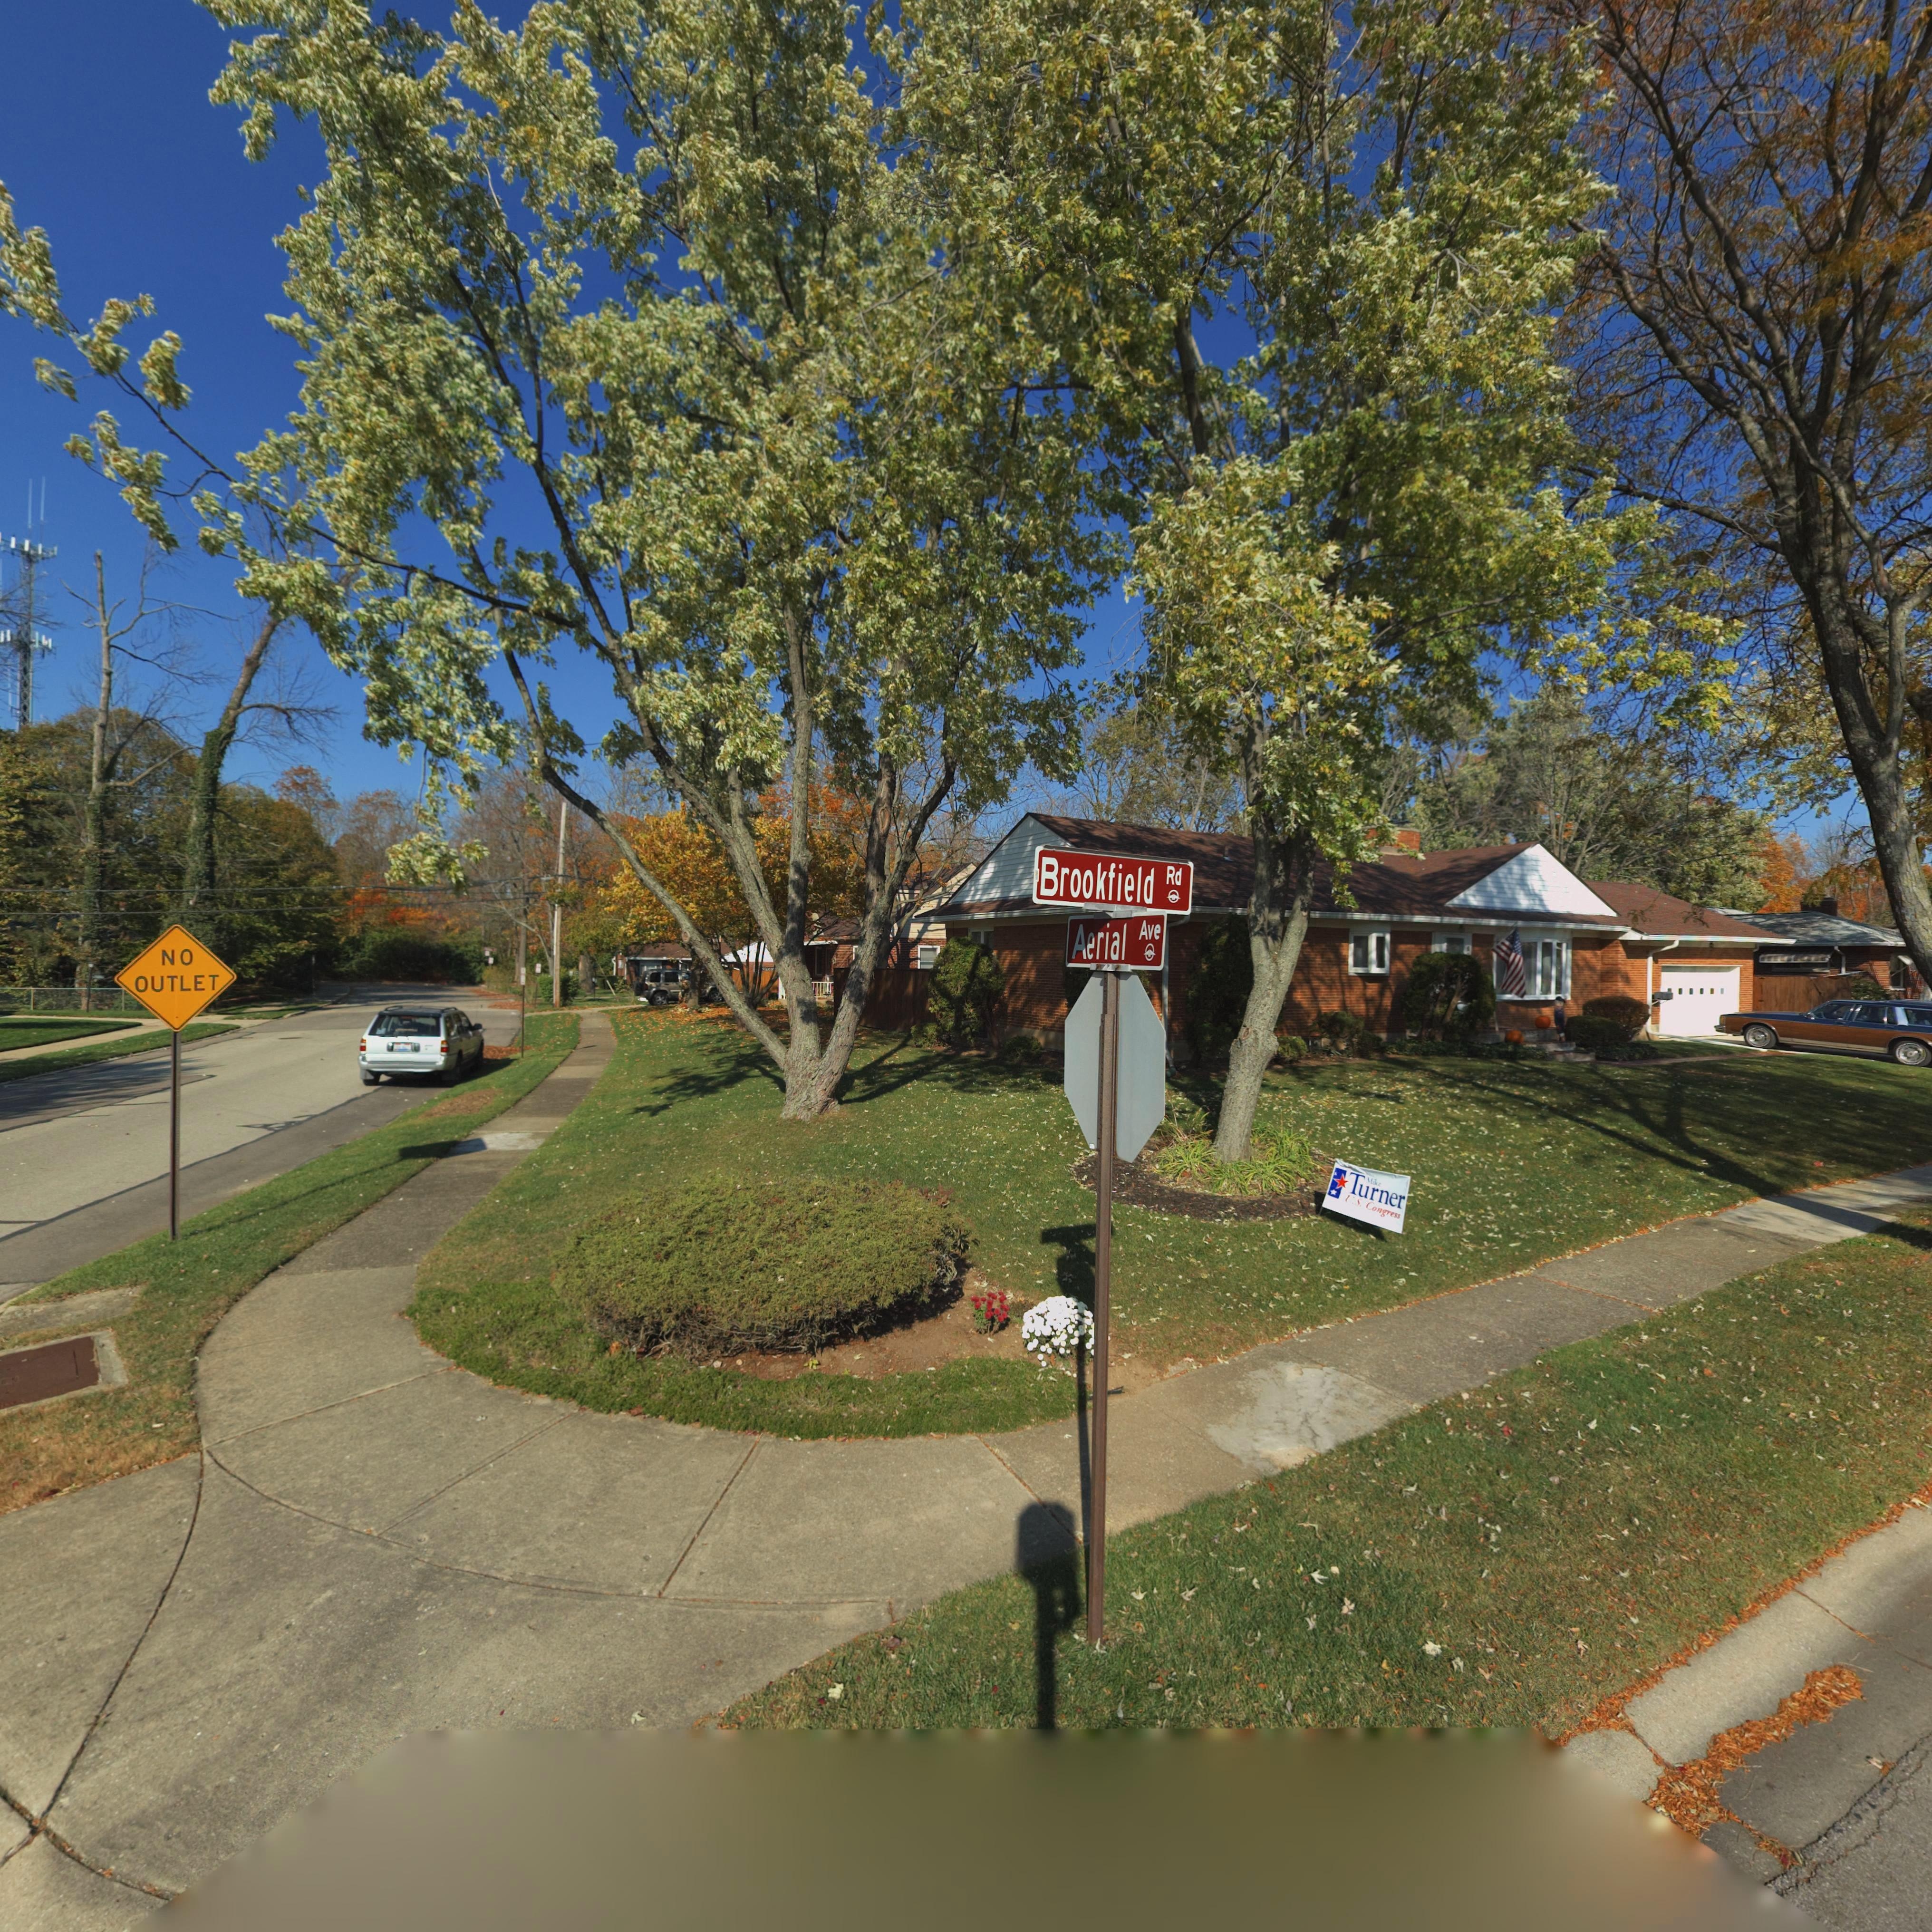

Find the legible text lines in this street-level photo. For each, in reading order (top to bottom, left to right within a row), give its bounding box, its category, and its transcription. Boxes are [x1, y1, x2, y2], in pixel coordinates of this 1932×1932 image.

[1038, 856, 1183, 905] StreetName: Brookfield Rd
[161, 948, 194, 966] None: NO
[1071, 919, 1162, 961] StreetName: Aerial Ave
[1466, 946, 1470, 952] StreetNumber: 6
[134, 974, 220, 994] None: OUTLET
[1364, 1176, 1382, 1188] None: Mike
[1348, 1171, 1406, 1210] None: Turner
[1343, 1194, 1401, 1220] None: U.S. Congress